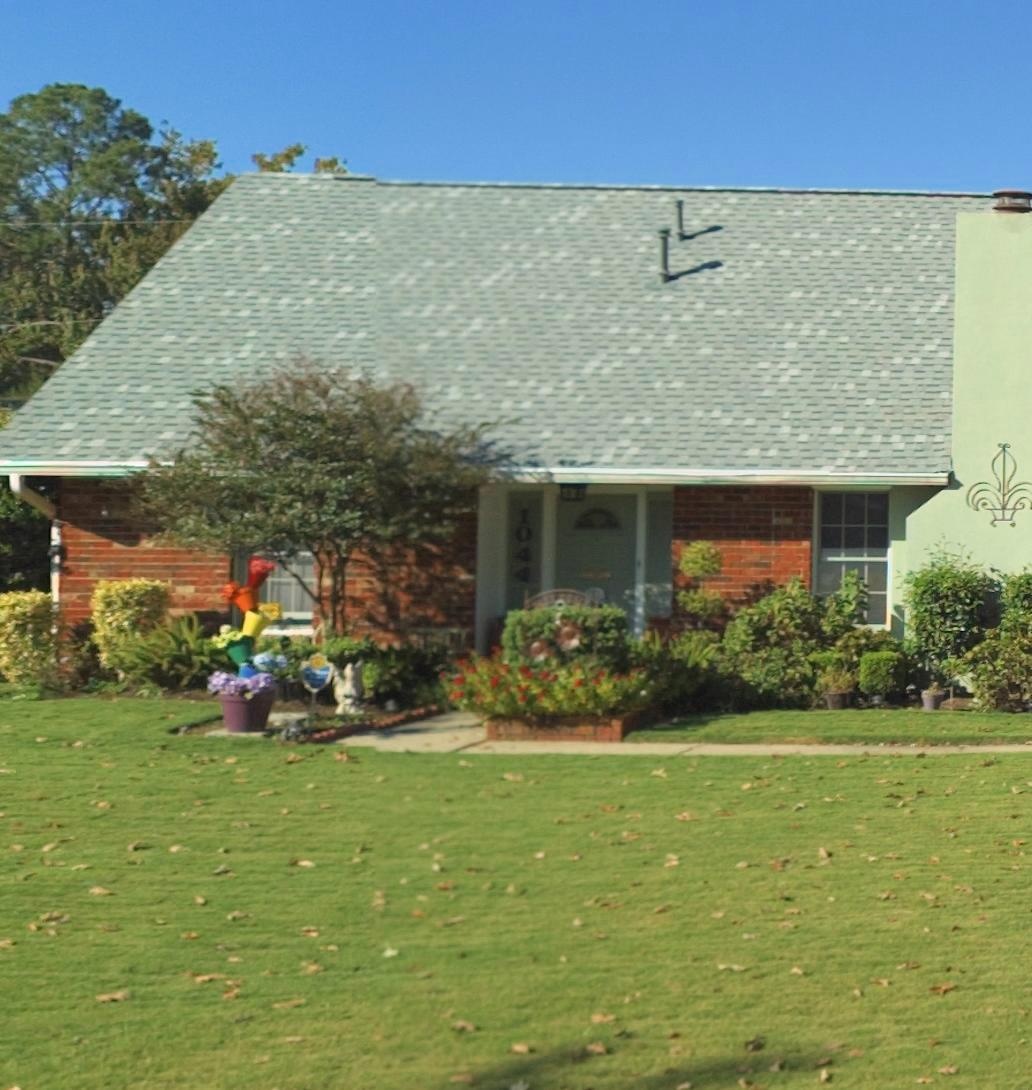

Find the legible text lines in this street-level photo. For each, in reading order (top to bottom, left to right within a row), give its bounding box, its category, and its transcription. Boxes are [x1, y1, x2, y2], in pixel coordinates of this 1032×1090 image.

[512, 505, 534, 587] StreetNumber: 1044